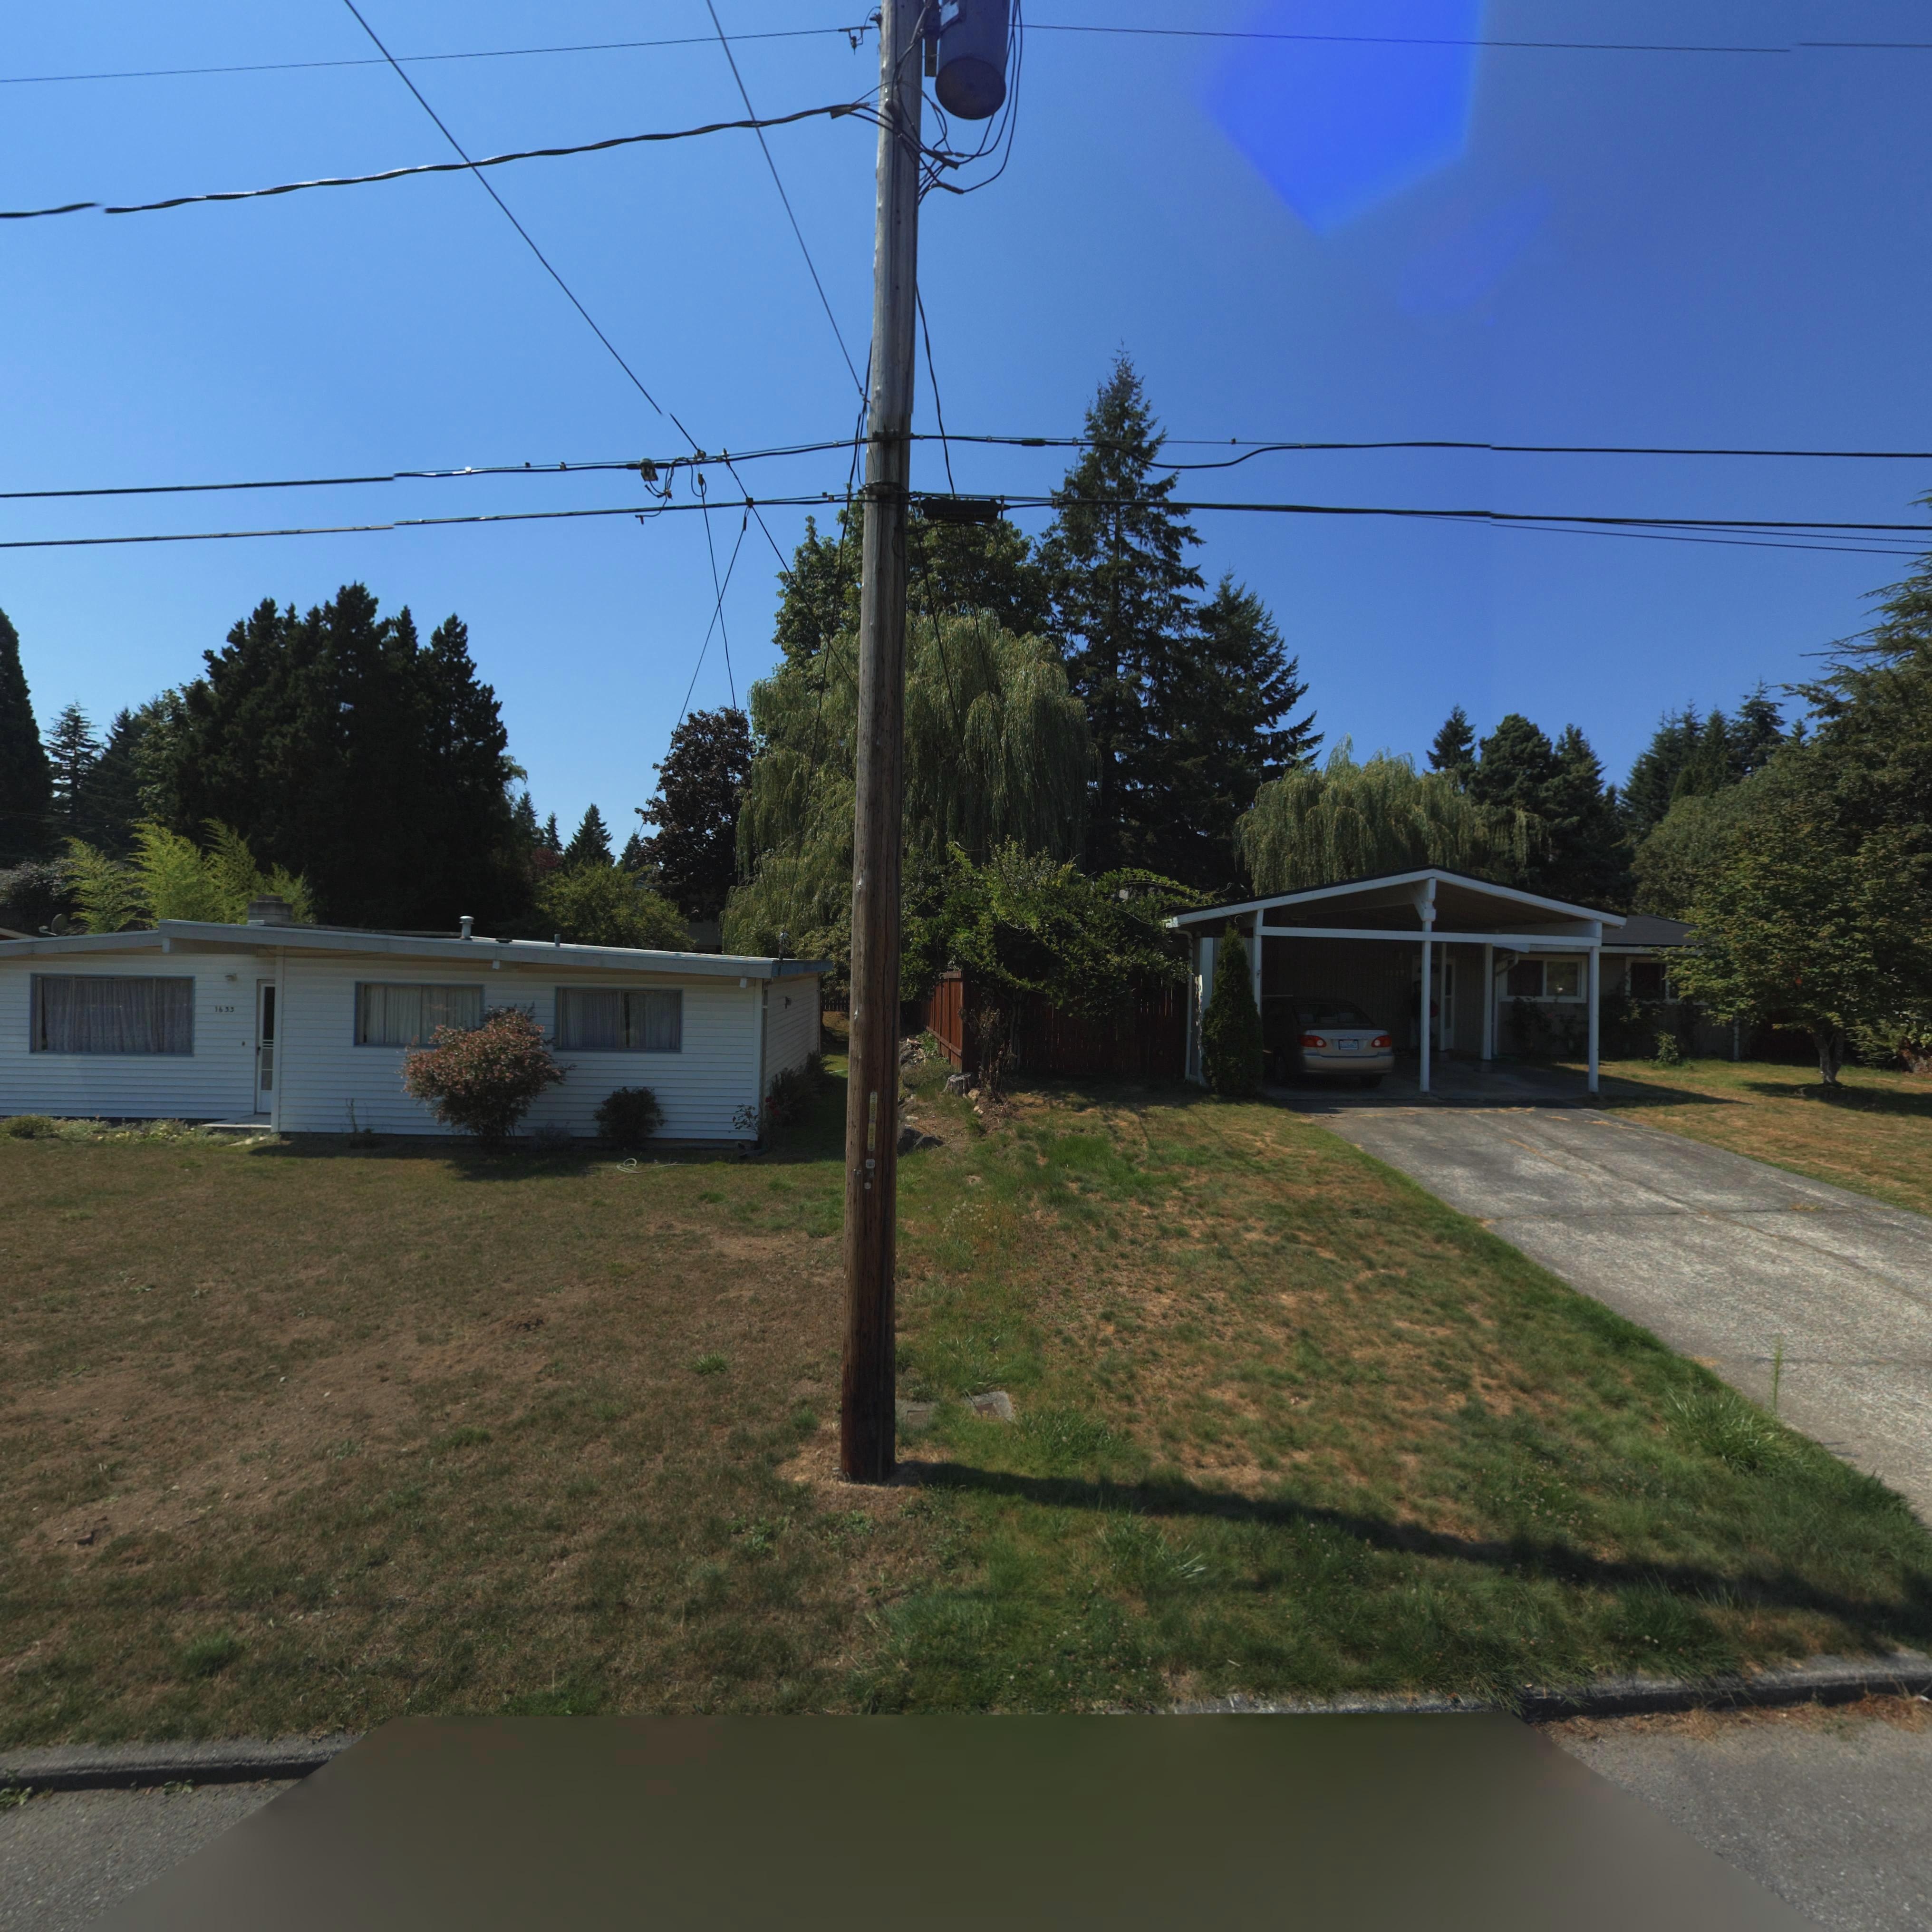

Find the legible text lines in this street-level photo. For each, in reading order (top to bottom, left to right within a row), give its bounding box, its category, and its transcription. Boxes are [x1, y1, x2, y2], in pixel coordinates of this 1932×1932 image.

[214, 1005, 234, 1013] StreetNumber: 1633